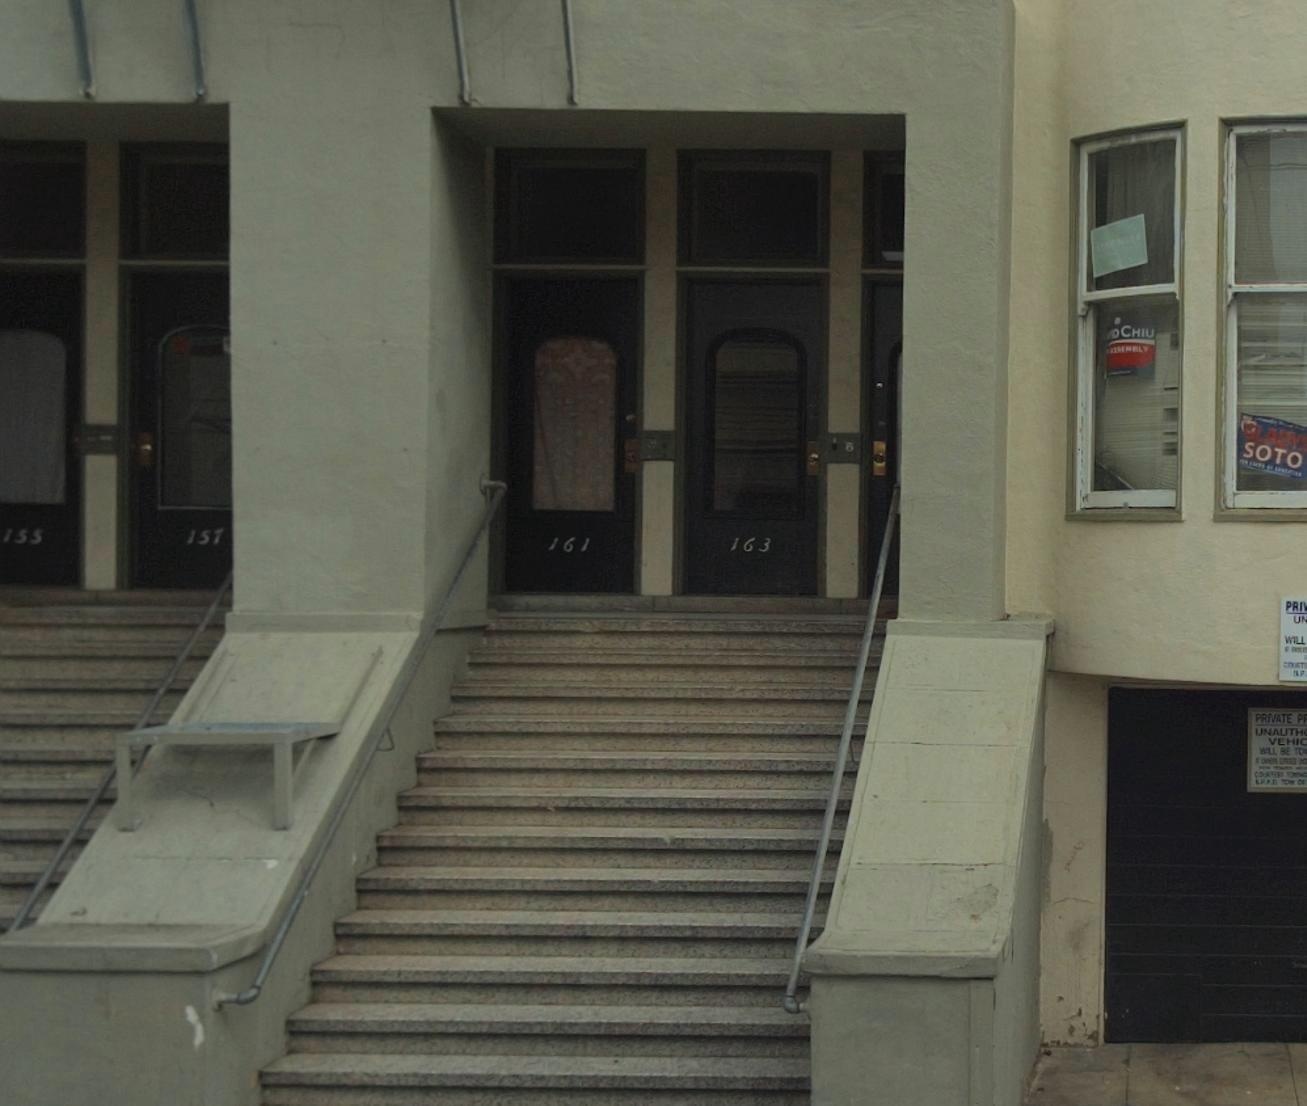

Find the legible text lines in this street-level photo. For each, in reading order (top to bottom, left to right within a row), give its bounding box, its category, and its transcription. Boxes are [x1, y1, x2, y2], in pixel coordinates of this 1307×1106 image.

[1119, 324, 1156, 339] None: CHIU
[1108, 344, 1149, 355] None: ASSEMBLY
[1251, 423, 1303, 453] None: LADY
[1240, 440, 1303, 470] None: SOTO
[1, 527, 45, 547] StreetNumber: 155
[185, 525, 226, 546] StreetNumber: 157
[547, 535, 591, 553] StreetNumber: 161
[728, 535, 772, 554] StreetNumber: 163
[1285, 599, 1303, 613] None: PRI
[1284, 634, 1306, 646] None: WILL
[1254, 712, 1294, 724] None: PRIVATE
[1254, 727, 1304, 737] None: UNAUTH
[1266, 737, 1300, 746] None: VEHI
[1258, 746, 1292, 756] None: WILL BE